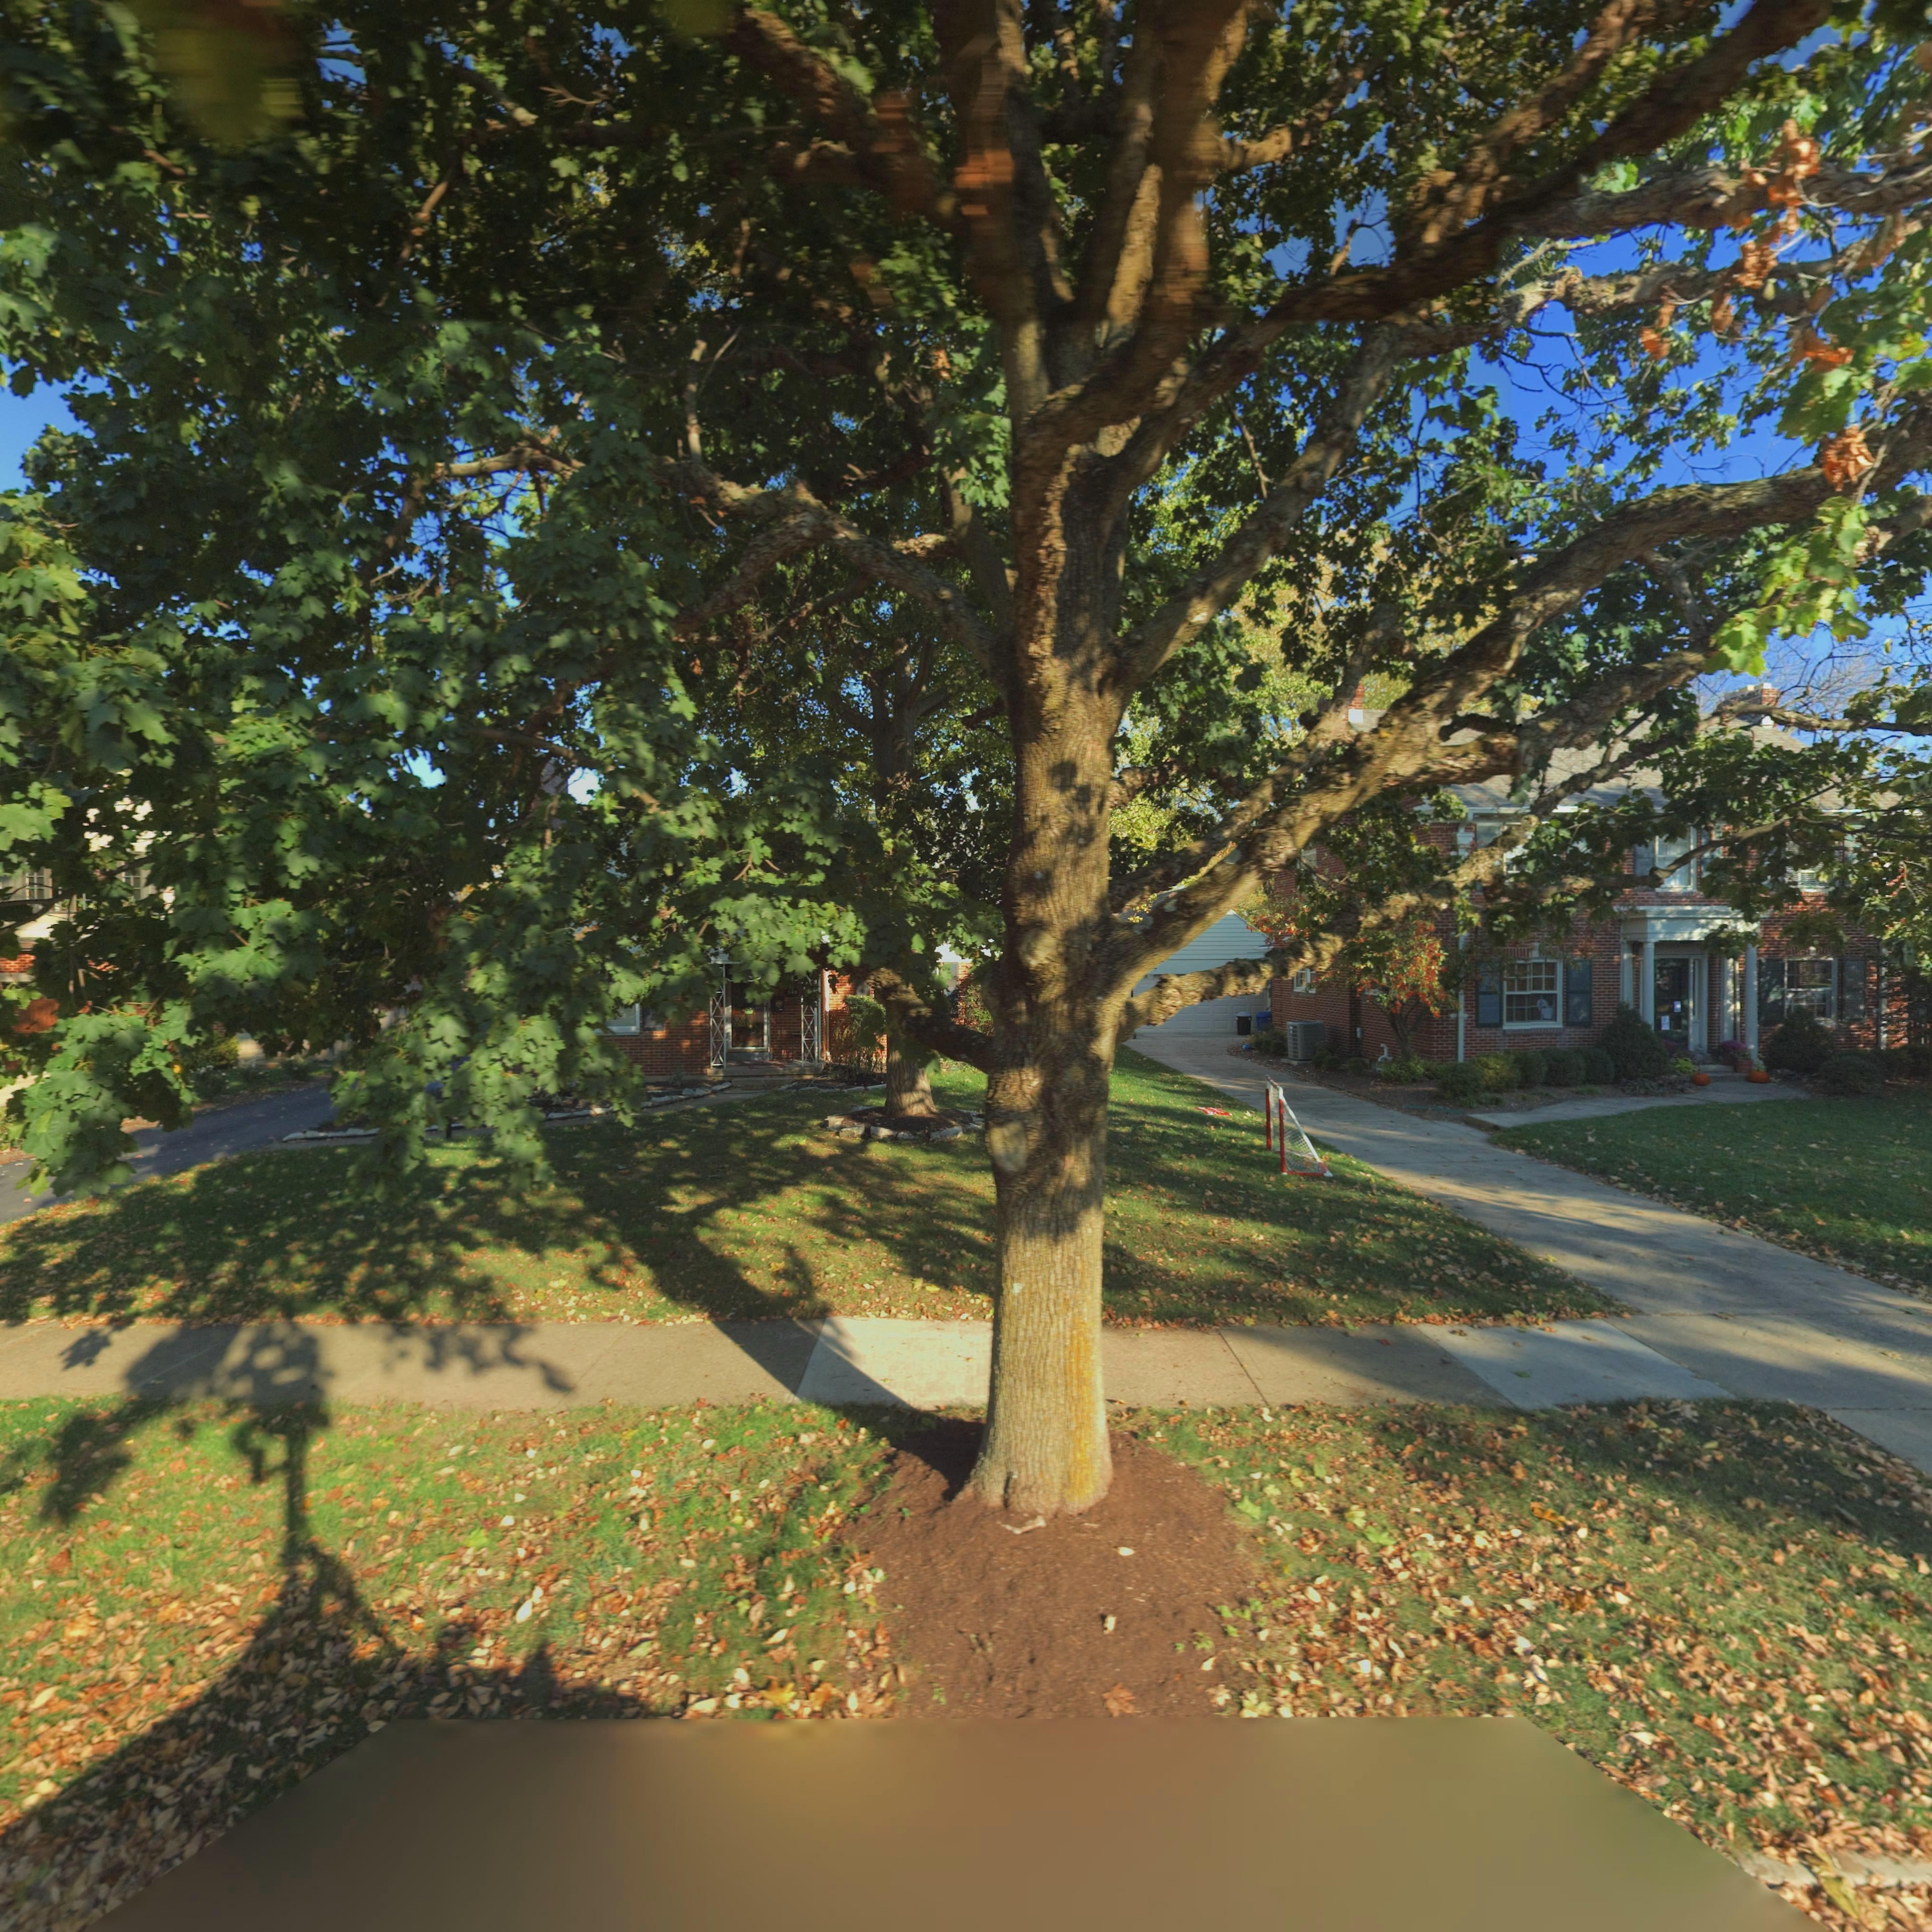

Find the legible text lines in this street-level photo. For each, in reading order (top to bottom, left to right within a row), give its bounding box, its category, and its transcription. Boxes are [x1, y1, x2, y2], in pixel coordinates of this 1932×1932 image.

[1695, 921, 1710, 929] StreetNumber: 546
[787, 989, 798, 995] StreetNumber: 540